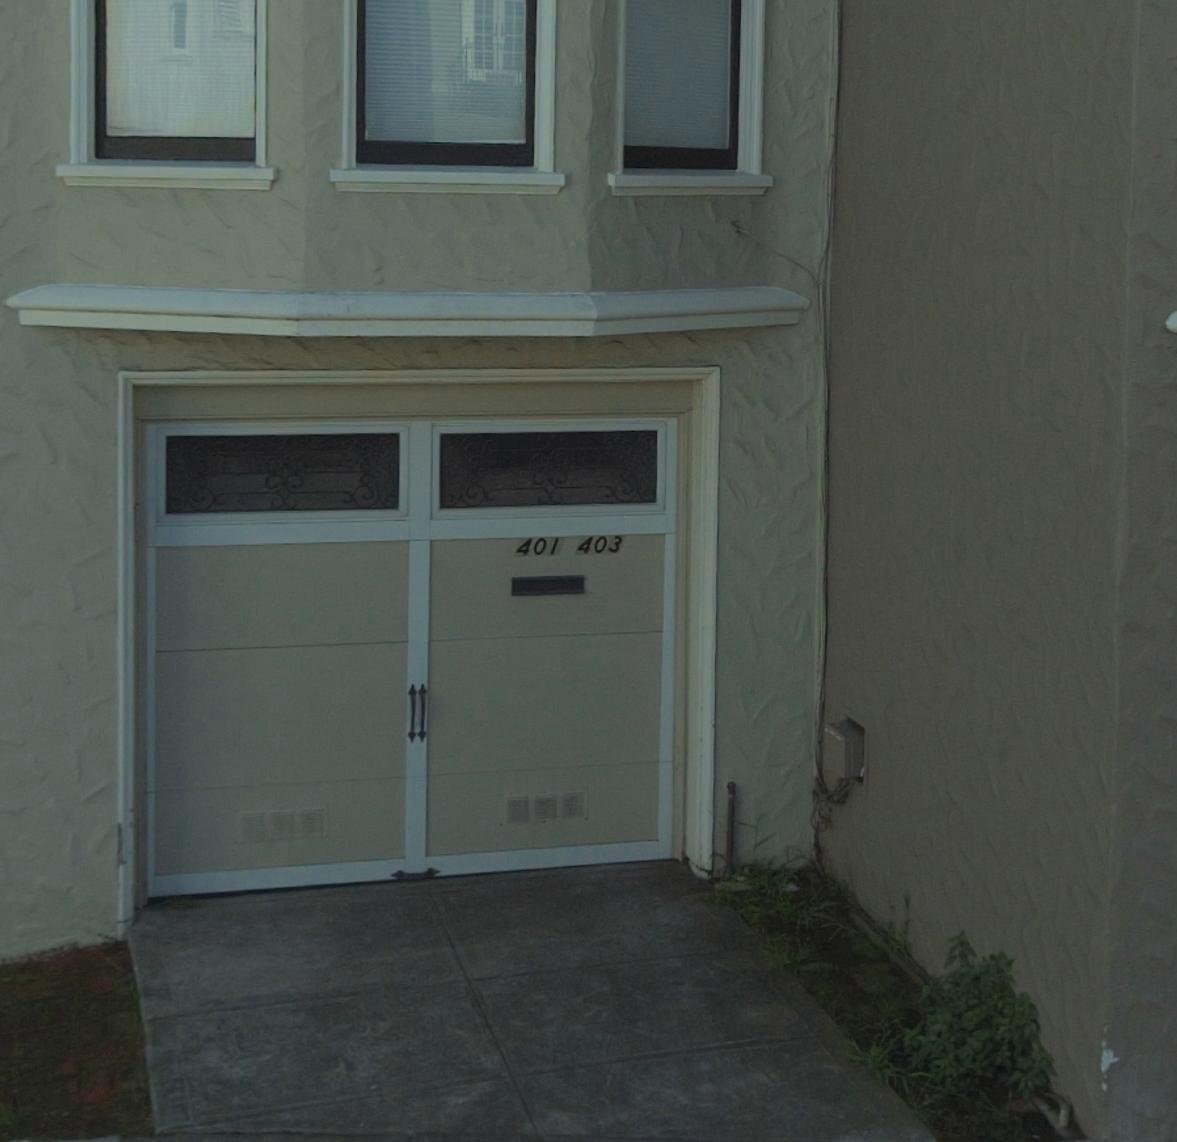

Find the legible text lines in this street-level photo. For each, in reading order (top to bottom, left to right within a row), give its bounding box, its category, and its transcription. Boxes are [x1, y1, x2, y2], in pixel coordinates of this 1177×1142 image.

[515, 537, 562, 558] StreetNumber: 401
[574, 535, 626, 556] StreetNumber: 403